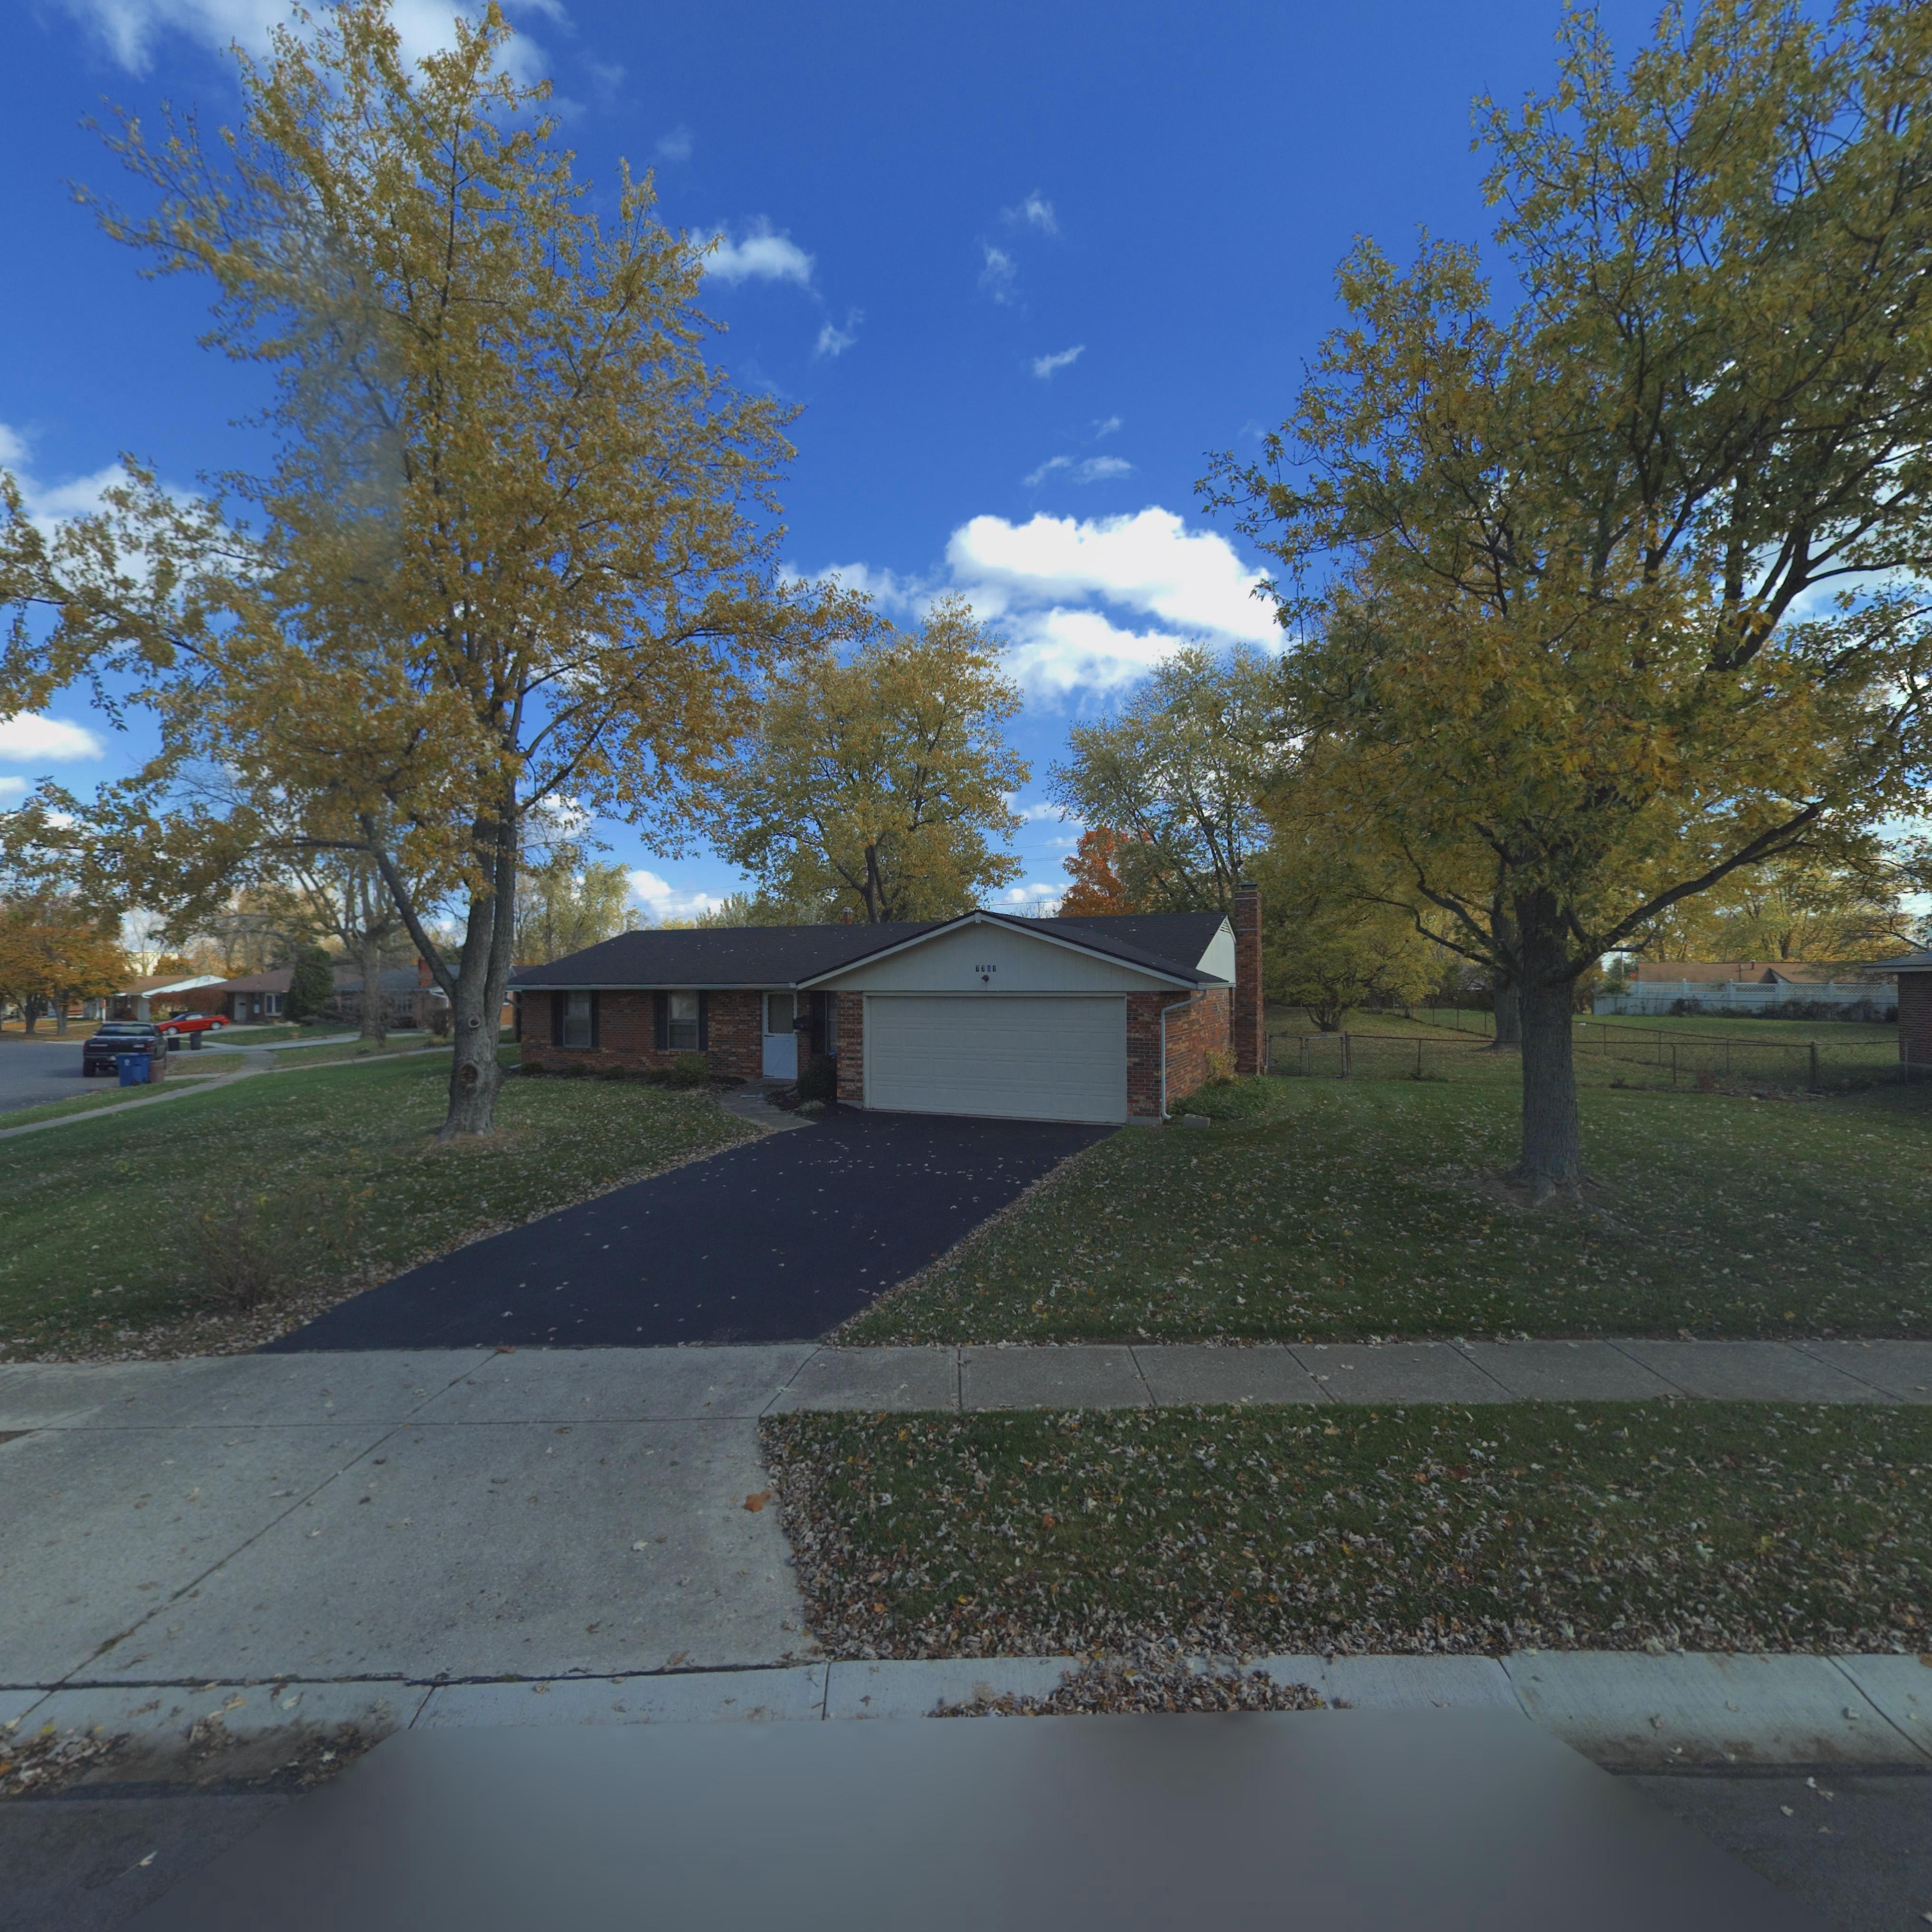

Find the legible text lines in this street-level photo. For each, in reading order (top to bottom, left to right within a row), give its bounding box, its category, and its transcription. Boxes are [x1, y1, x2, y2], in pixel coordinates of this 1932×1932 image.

[976, 965, 996, 971] StreetNumber: 7781